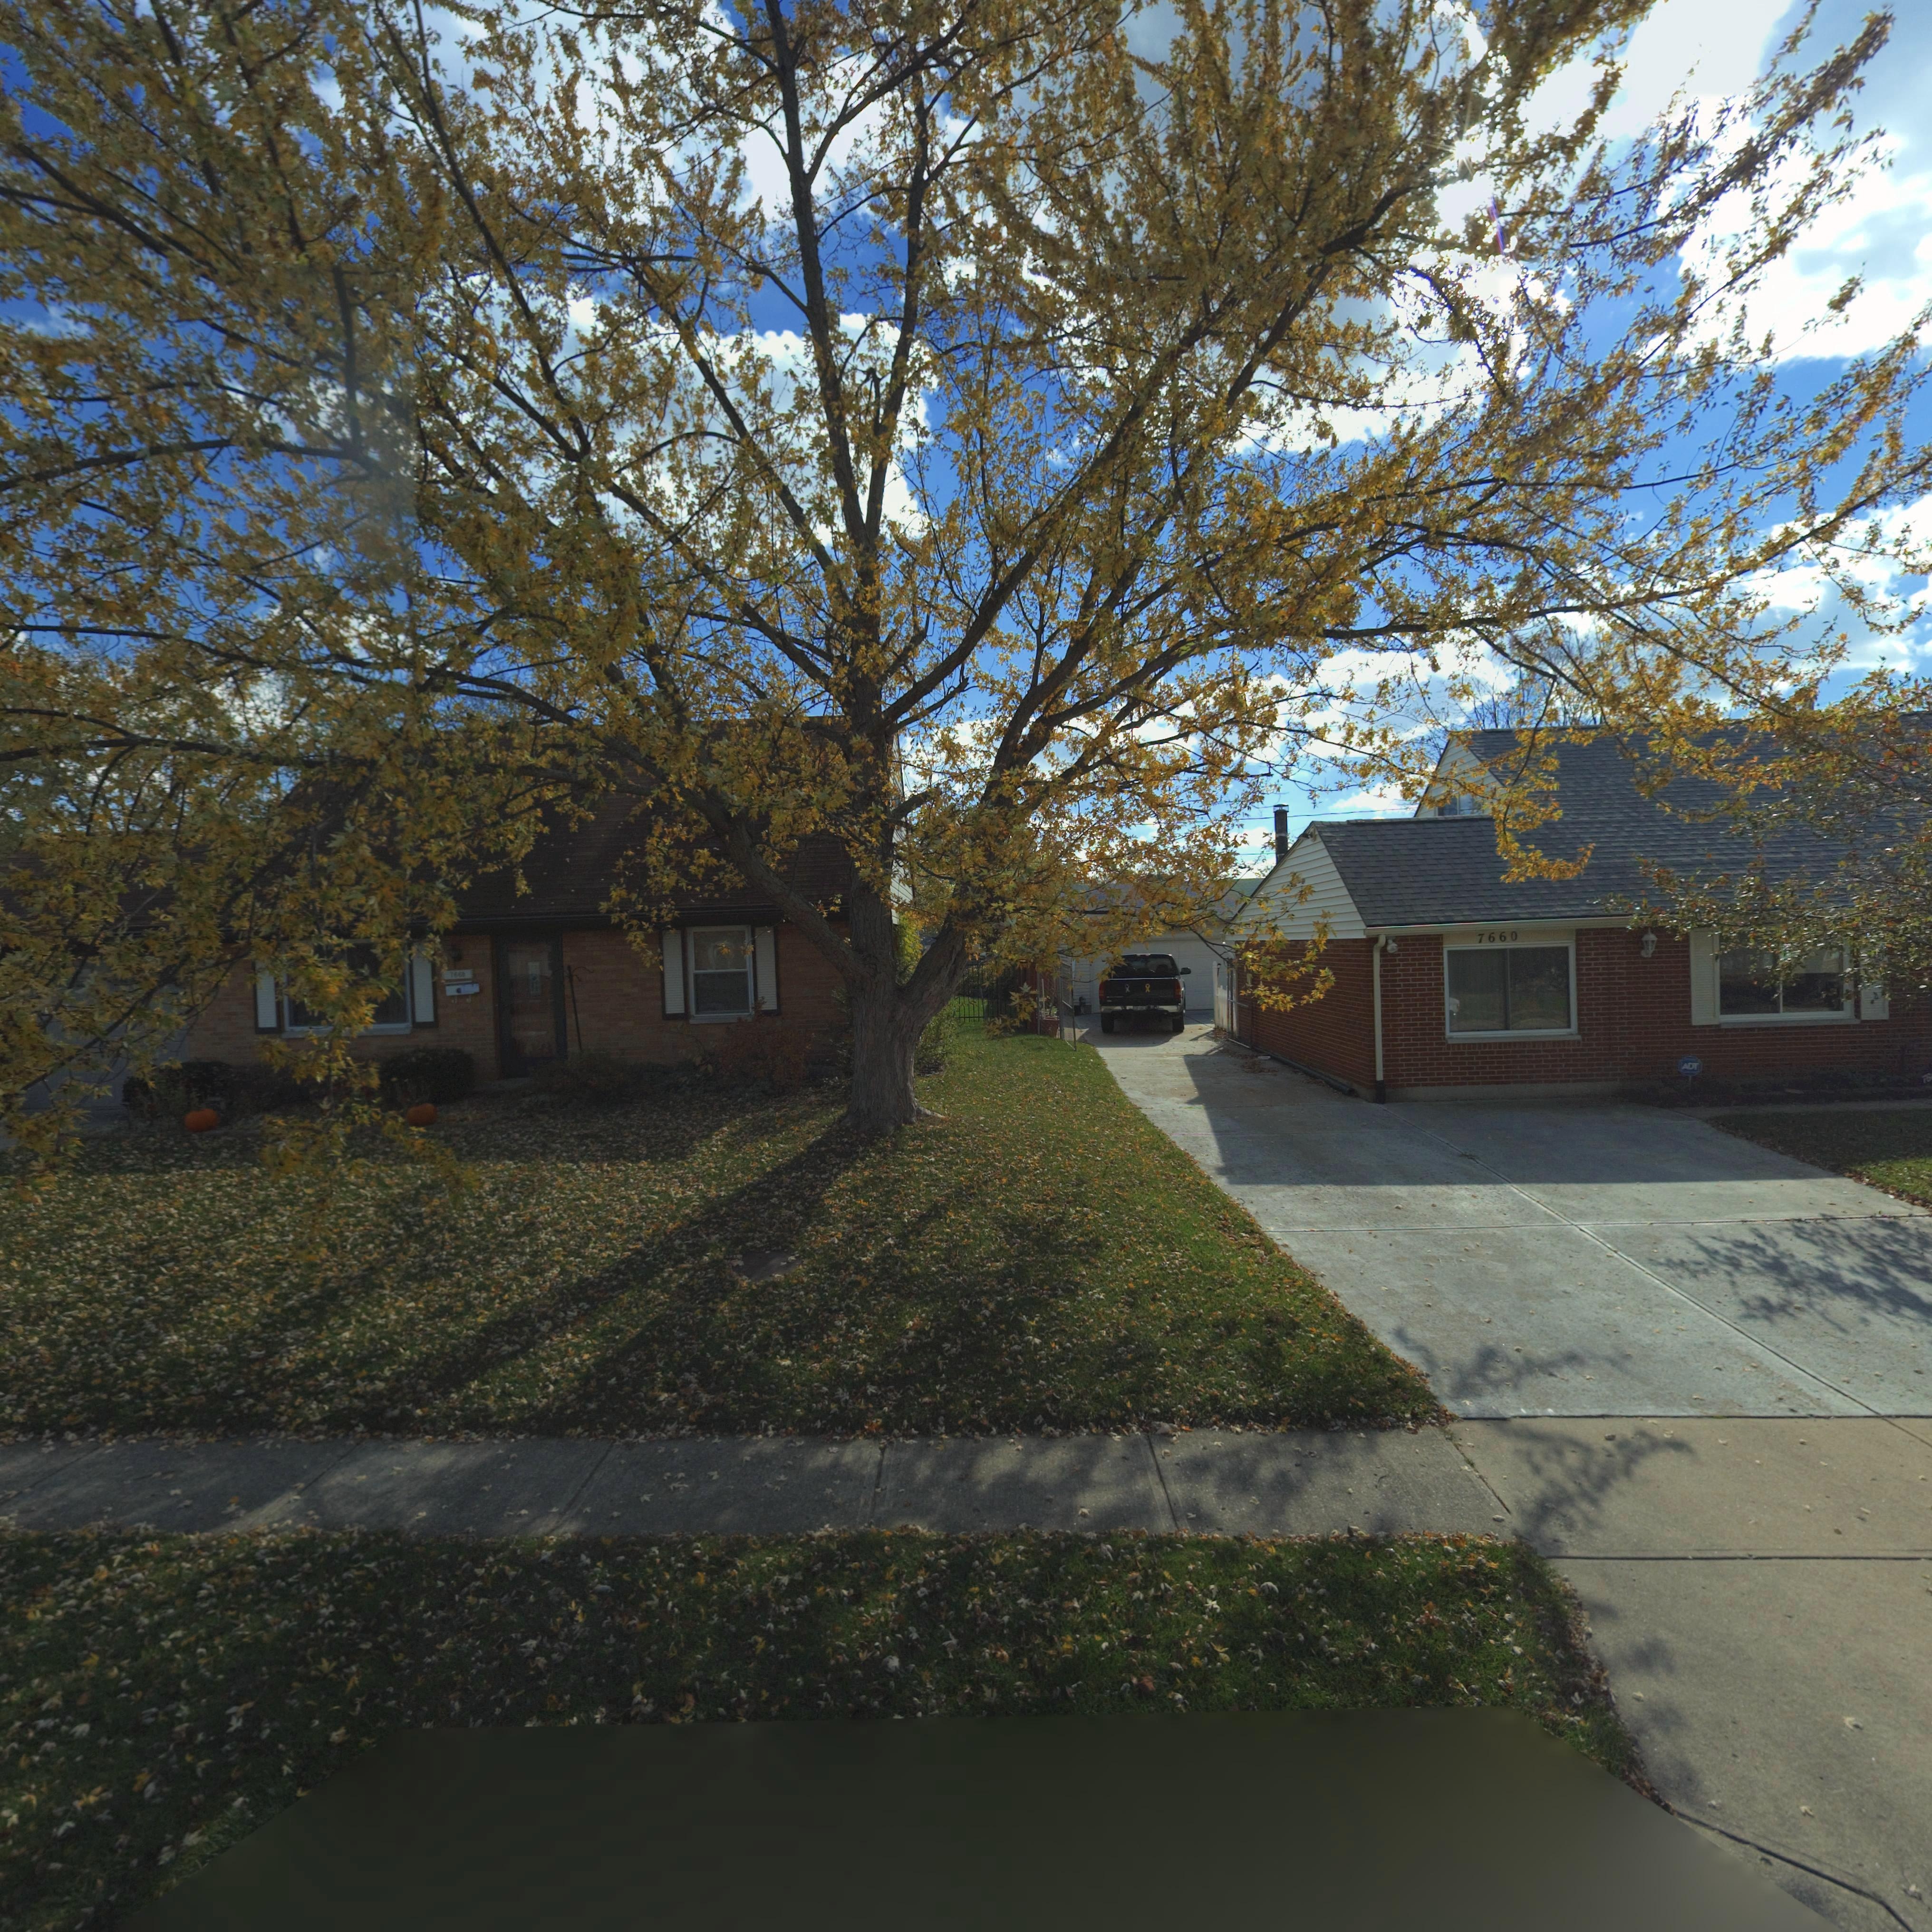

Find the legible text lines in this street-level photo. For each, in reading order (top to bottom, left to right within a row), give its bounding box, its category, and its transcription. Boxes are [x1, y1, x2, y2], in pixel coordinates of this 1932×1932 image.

[1477, 930, 1519, 944] StreetNumber: 7660
[449, 971, 466, 979] StreetNumber: 766*